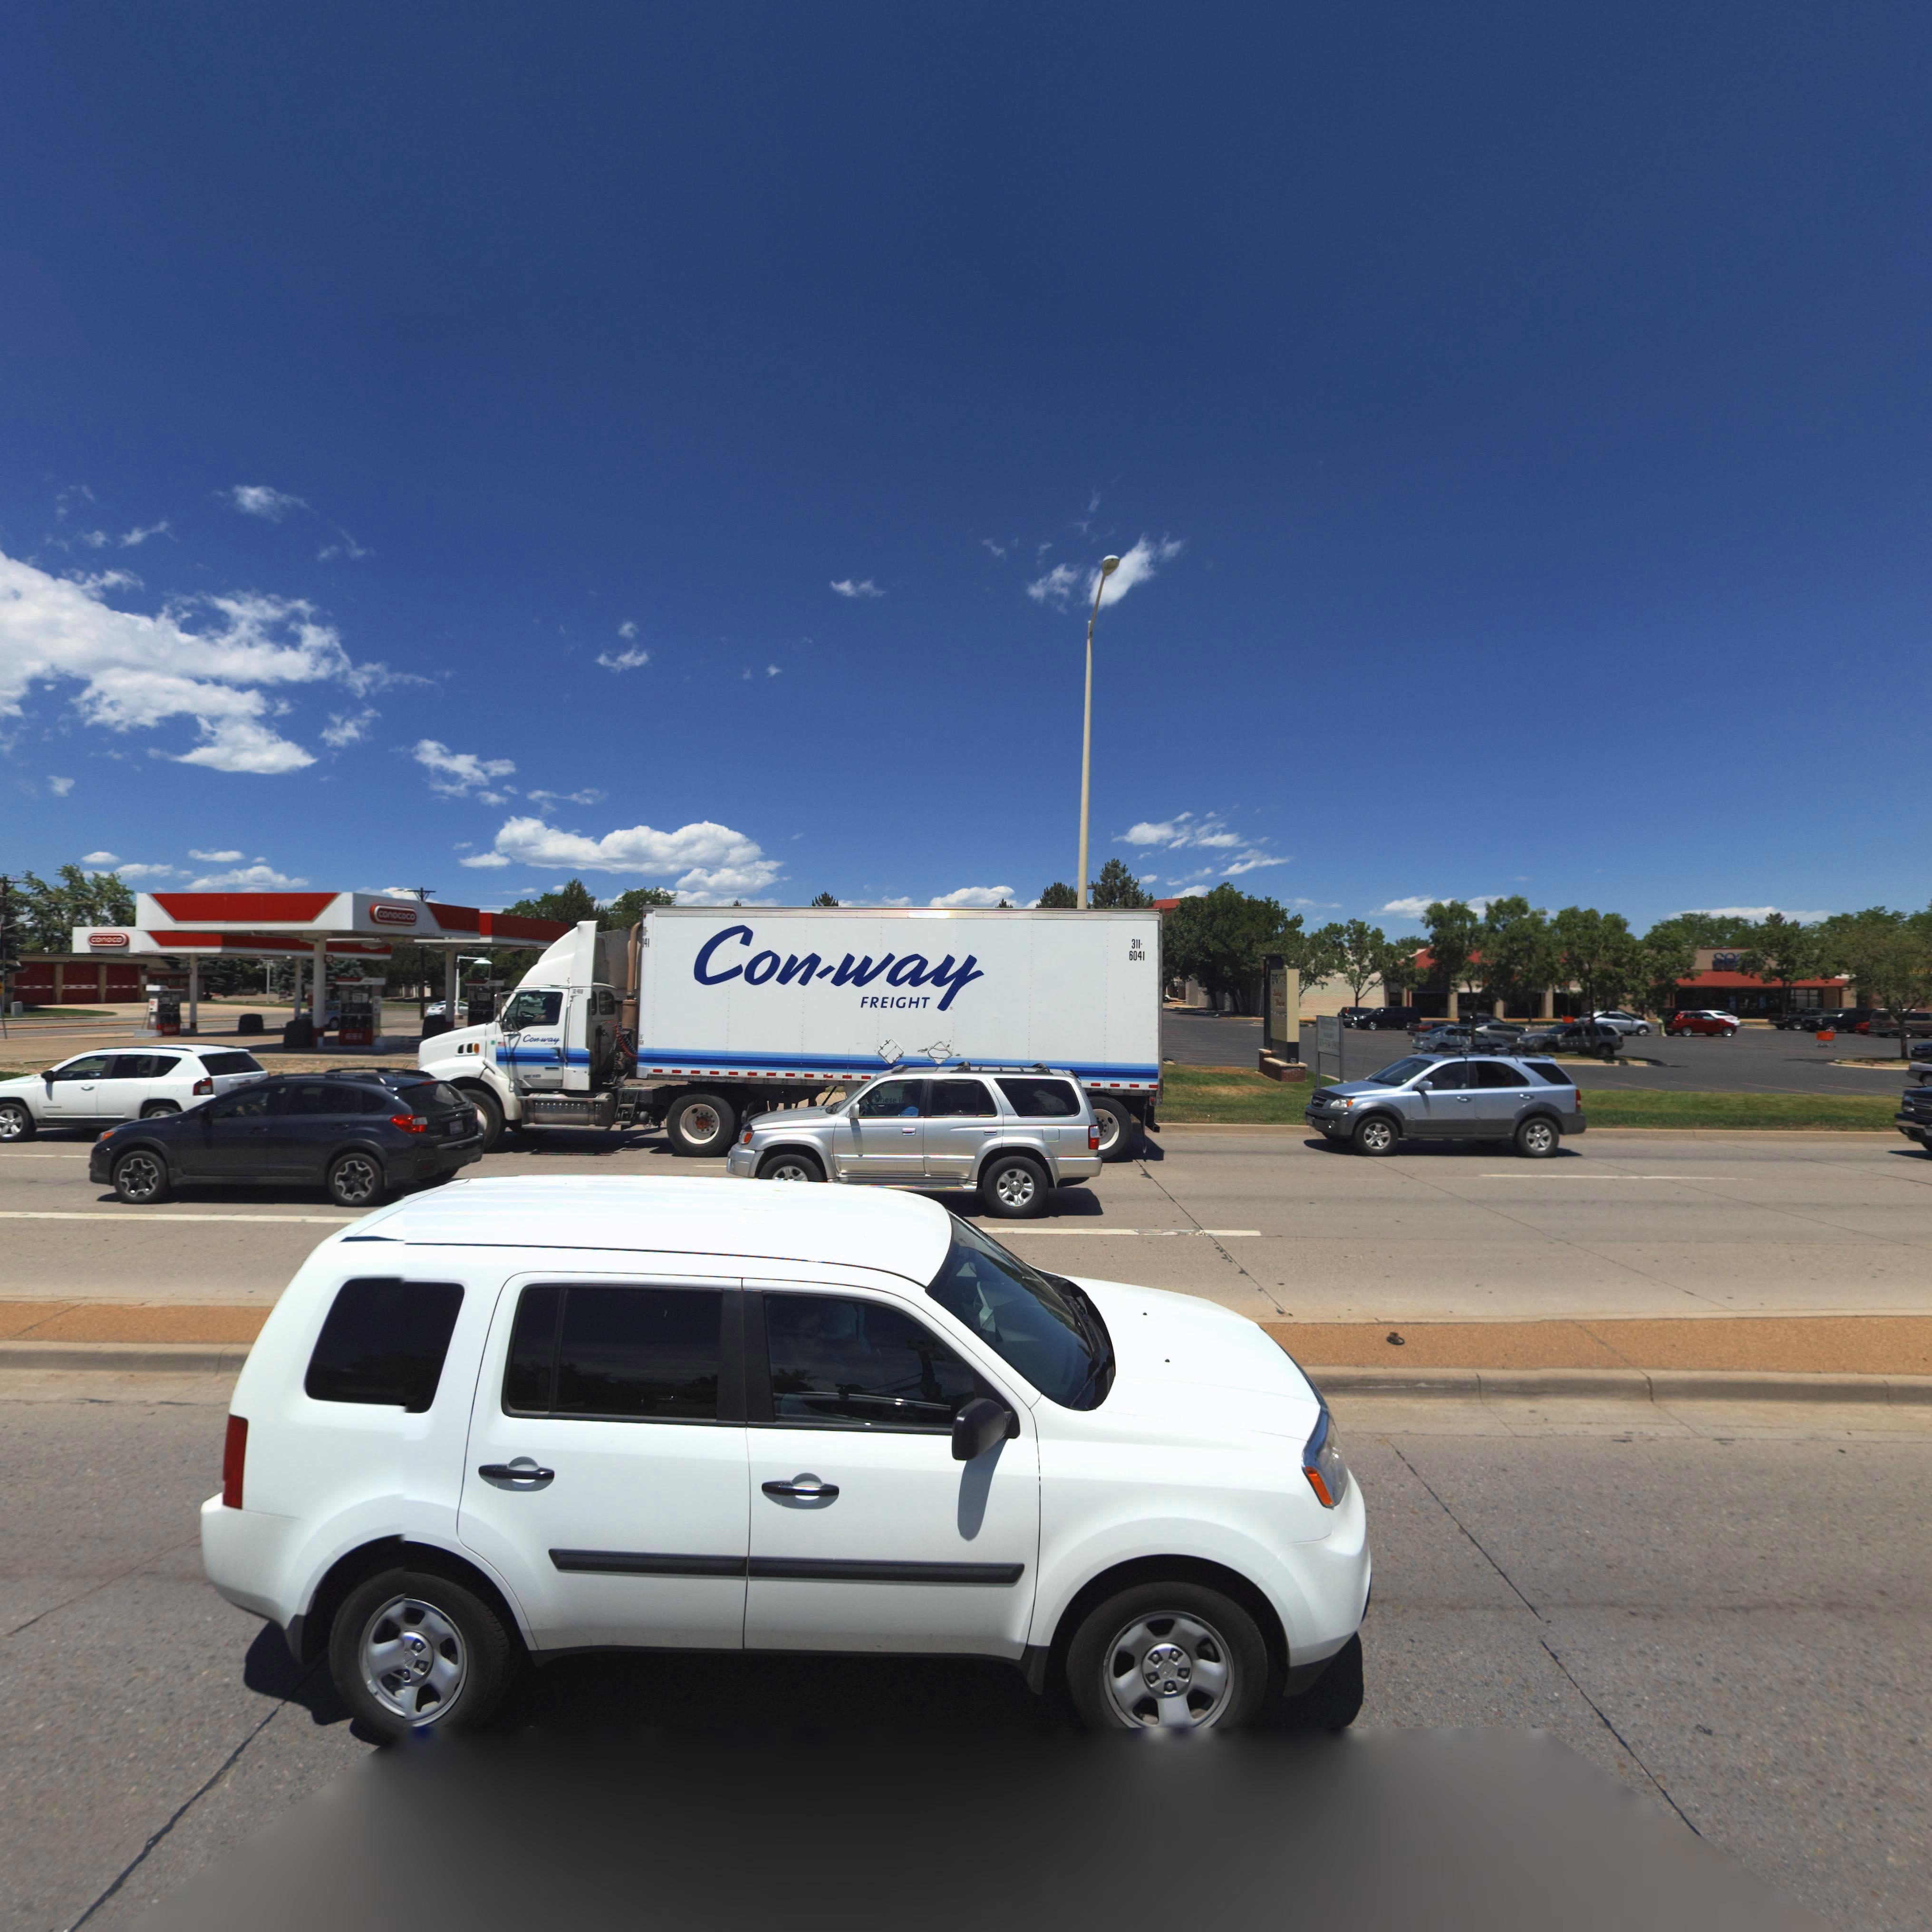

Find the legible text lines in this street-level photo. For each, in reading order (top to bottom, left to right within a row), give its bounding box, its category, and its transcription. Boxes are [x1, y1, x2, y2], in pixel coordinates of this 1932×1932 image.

[377, 909, 415, 920] BusinessName: conoco
[90, 937, 123, 943] BusinessName: conoco
[1713, 952, 1736, 966] StreetNumber: se
[1271, 974, 1285, 984] BusinessName: B*G L***